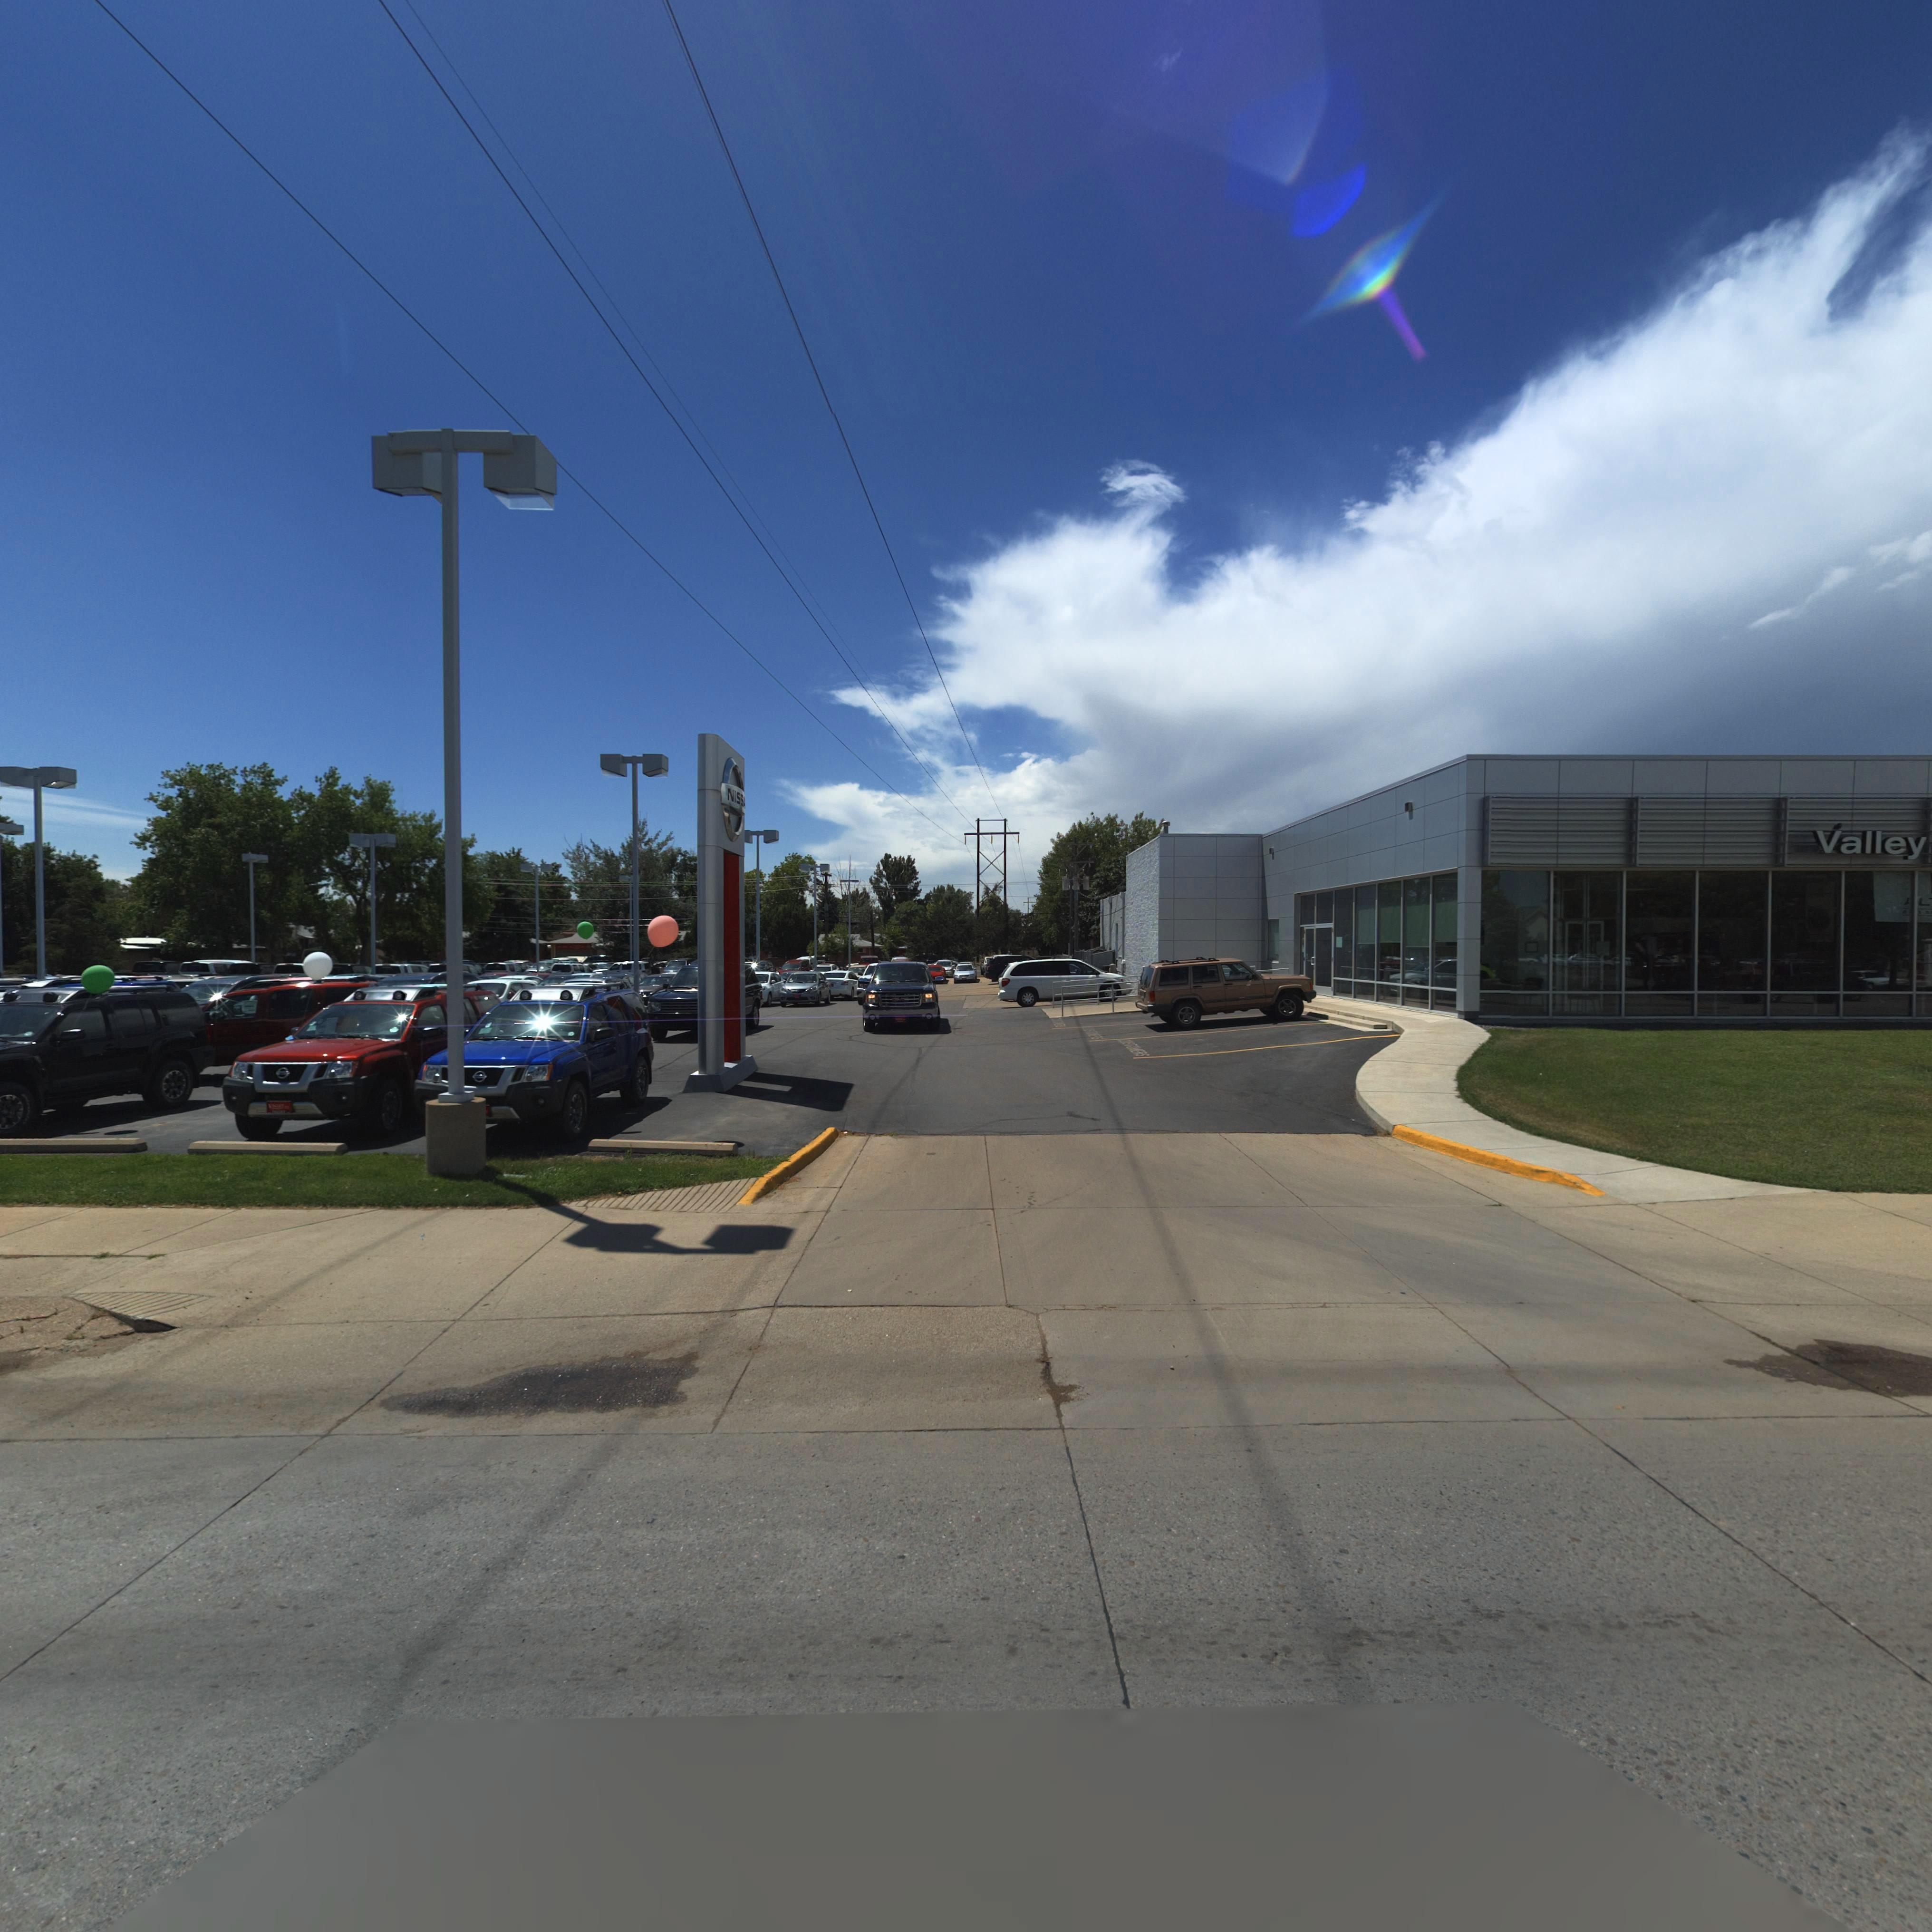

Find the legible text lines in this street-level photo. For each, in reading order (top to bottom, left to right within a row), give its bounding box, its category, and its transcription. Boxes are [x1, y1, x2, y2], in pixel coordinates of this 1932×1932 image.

[727, 787, 746, 810] BusinessName: NISSA
[1815, 829, 1928, 860] BusinessName: Valley